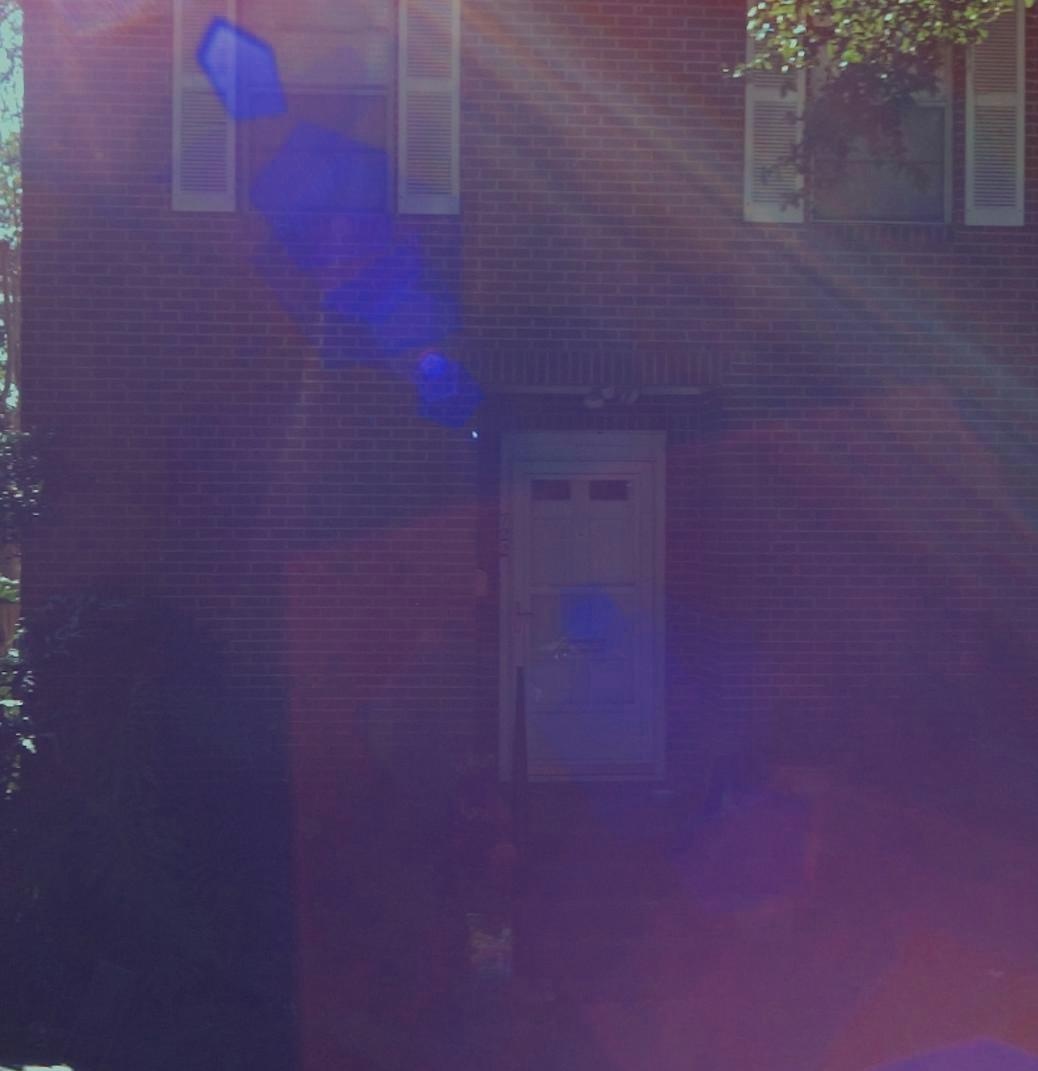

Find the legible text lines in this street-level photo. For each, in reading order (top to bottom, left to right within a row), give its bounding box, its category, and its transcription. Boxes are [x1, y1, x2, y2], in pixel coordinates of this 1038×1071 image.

[496, 509, 512, 561] StreetNumber: 722